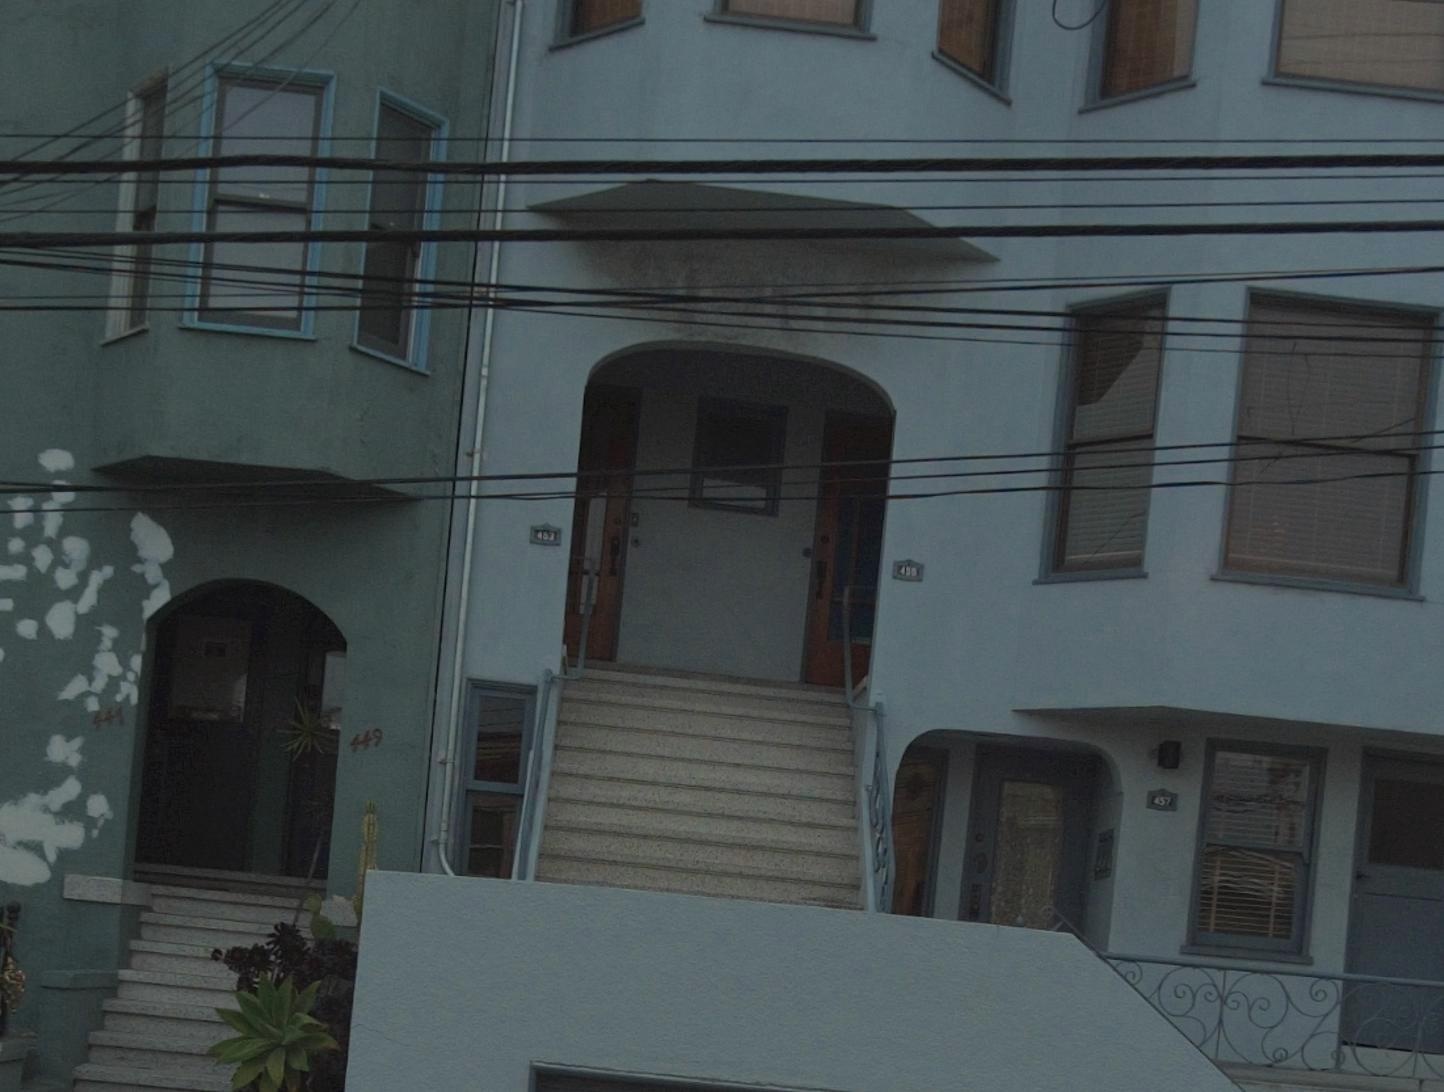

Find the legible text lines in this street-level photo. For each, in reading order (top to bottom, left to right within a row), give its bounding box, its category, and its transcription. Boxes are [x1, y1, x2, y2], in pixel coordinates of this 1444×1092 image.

[535, 530, 556, 541] StreetNumber: 453
[898, 565, 919, 578] StreetNumber: 455
[90, 702, 128, 733] StreetNumber: 441
[347, 727, 385, 756] StreetNumber: 449
[1153, 795, 1173, 807] StreetNumber: 457